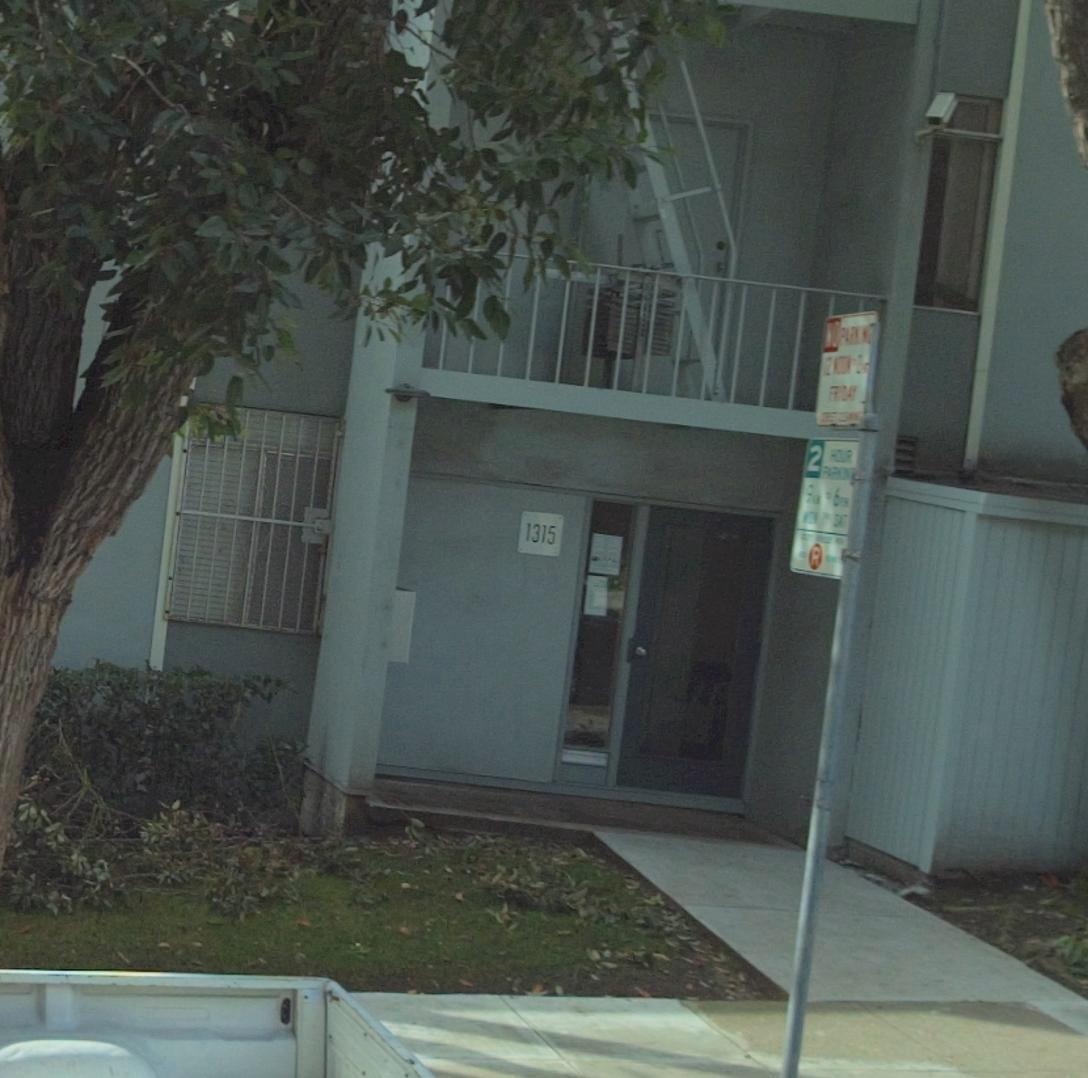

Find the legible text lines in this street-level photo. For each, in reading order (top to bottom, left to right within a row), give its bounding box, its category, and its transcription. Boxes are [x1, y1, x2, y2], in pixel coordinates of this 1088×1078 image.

[803, 442, 825, 475] None: 2
[829, 483, 844, 512] None: 6
[523, 520, 559, 548] StreetNumber: 1315
[808, 544, 823, 570] None: R